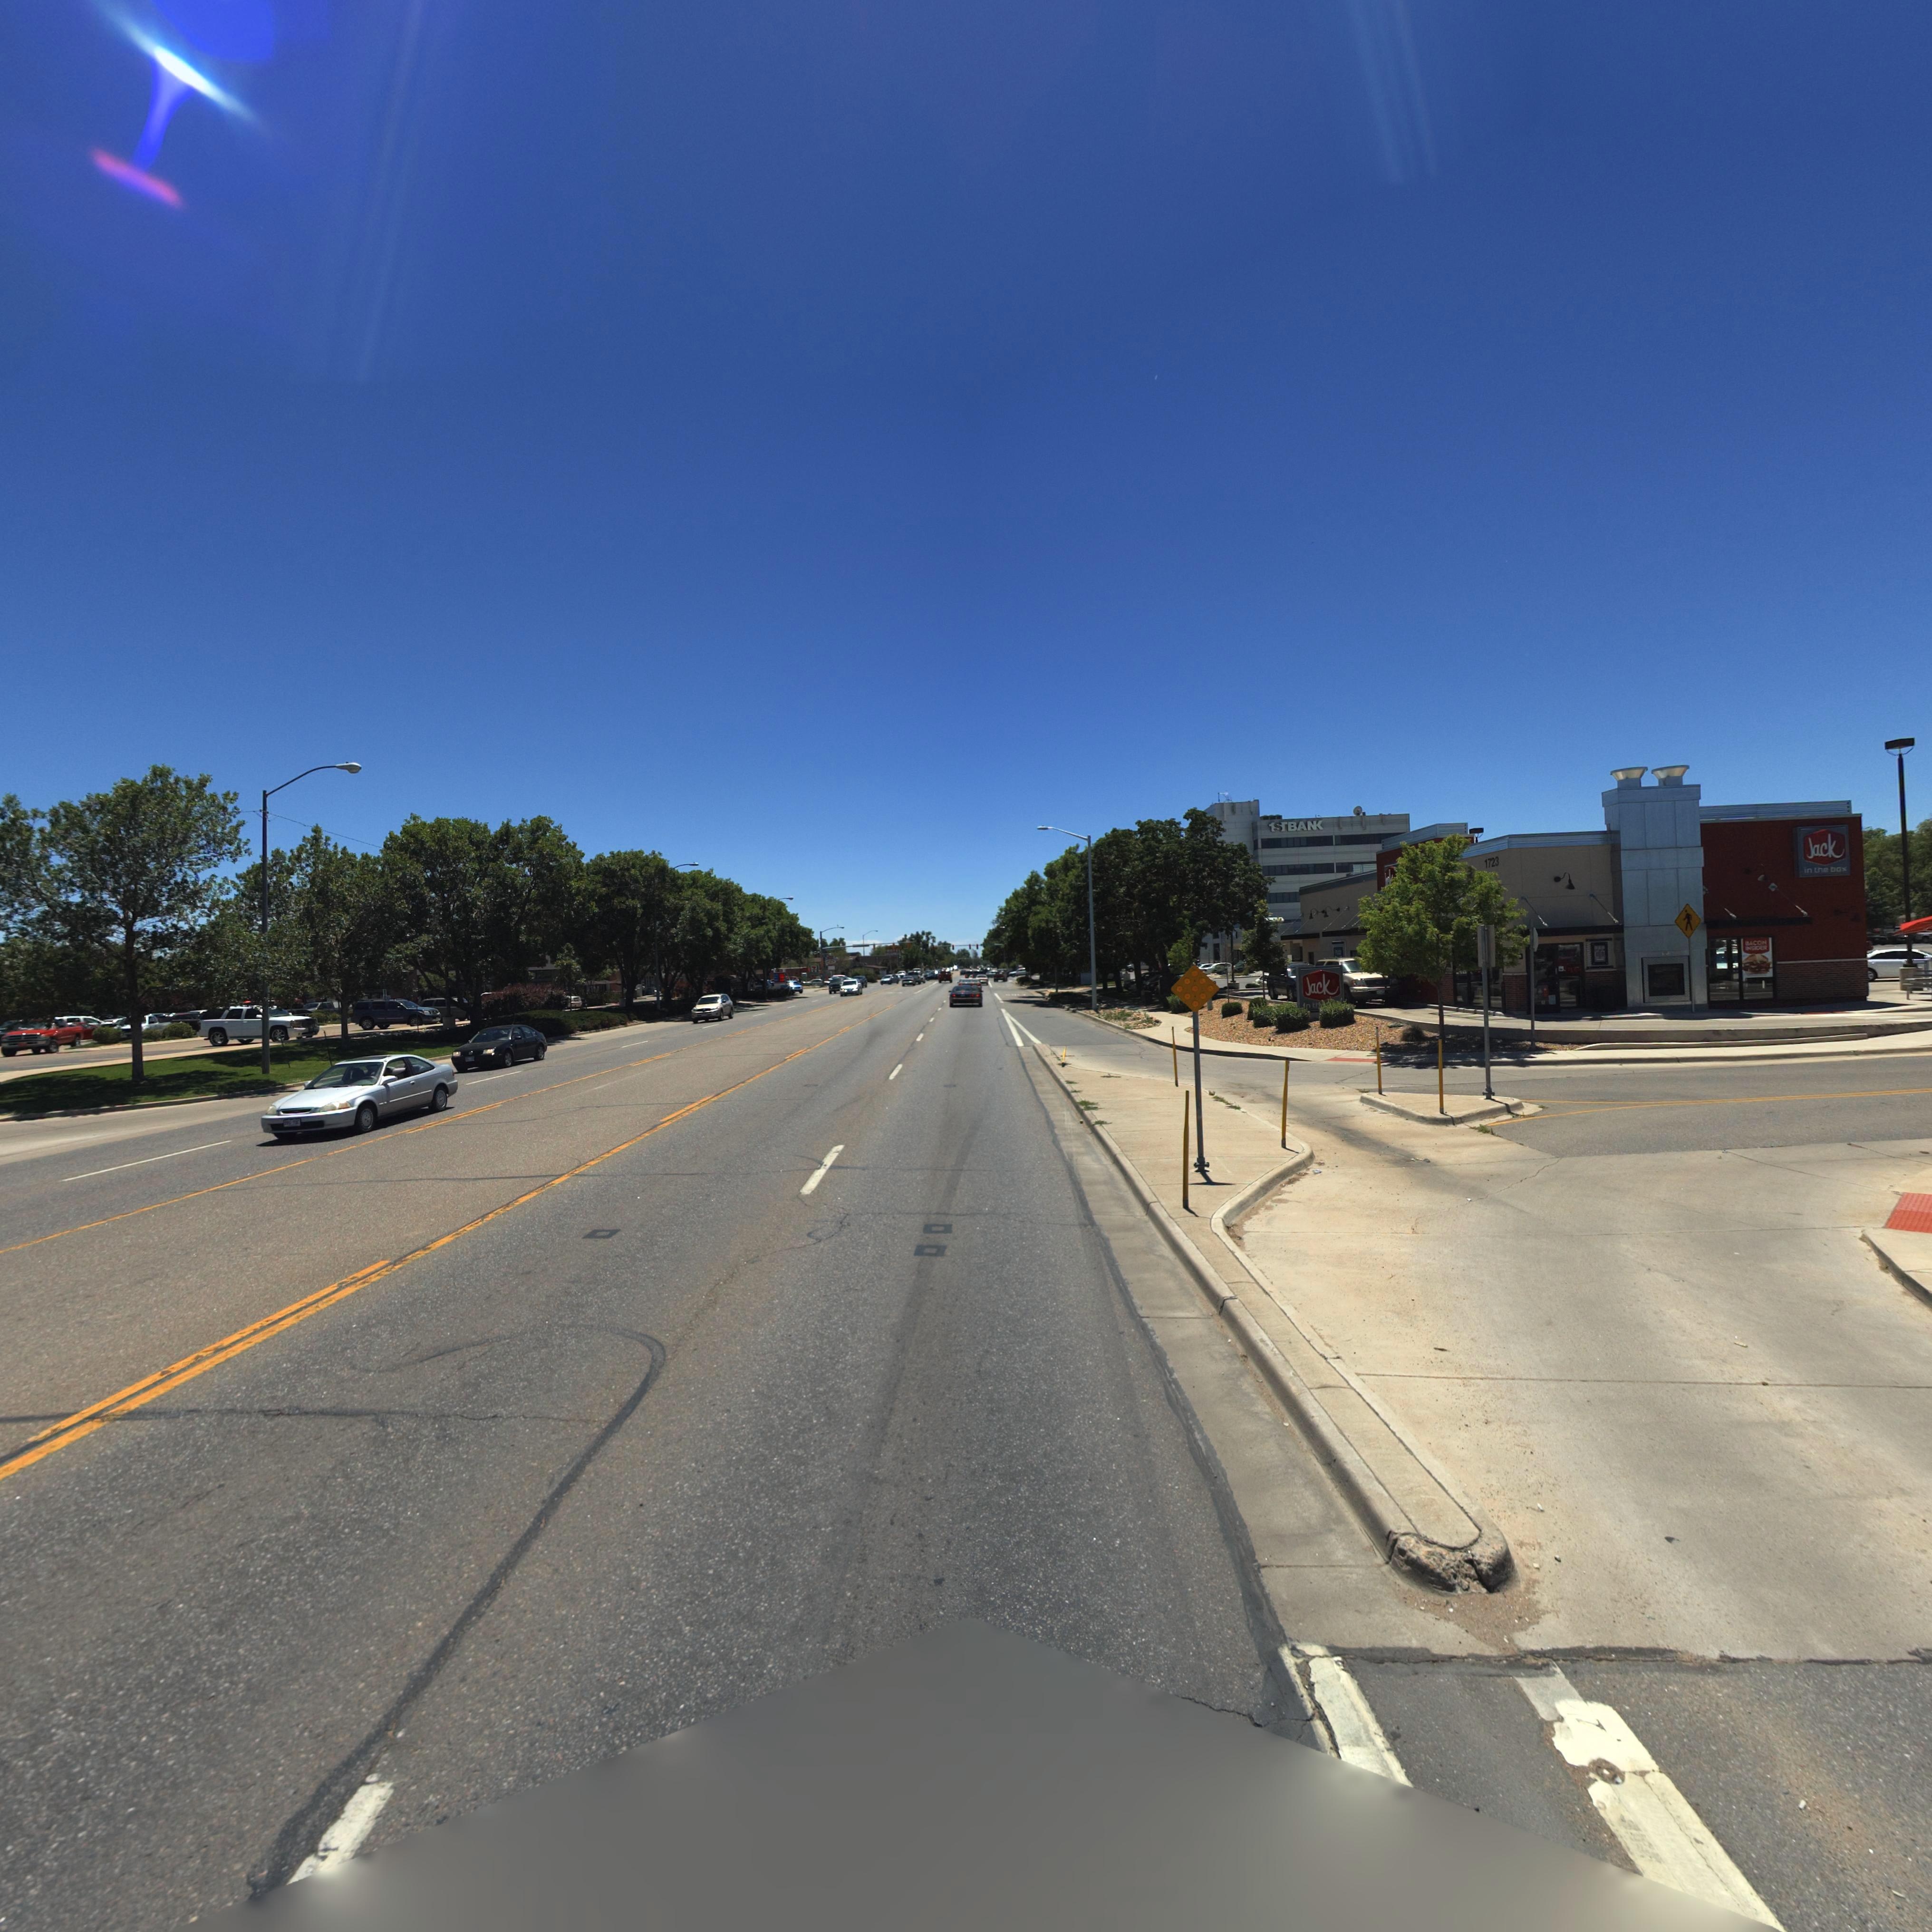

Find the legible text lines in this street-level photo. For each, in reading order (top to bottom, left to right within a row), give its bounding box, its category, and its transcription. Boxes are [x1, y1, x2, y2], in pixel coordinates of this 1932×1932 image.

[1268, 820, 1324, 832] BusinessName: 1S*BA*K
[1806, 833, 1845, 860] BusinessName: Jack
[1484, 856, 1499, 869] StreetNumber: 1723
[1803, 866, 1847, 874] BusinessName: in the box
[1384, 869, 1393, 887] BusinessName: *ack
[811, 966, 816, 972] BusinessName: 7
[1304, 973, 1339, 996] BusinessName: Jack
[1303, 1001, 1321, 1008] BusinessName: in th